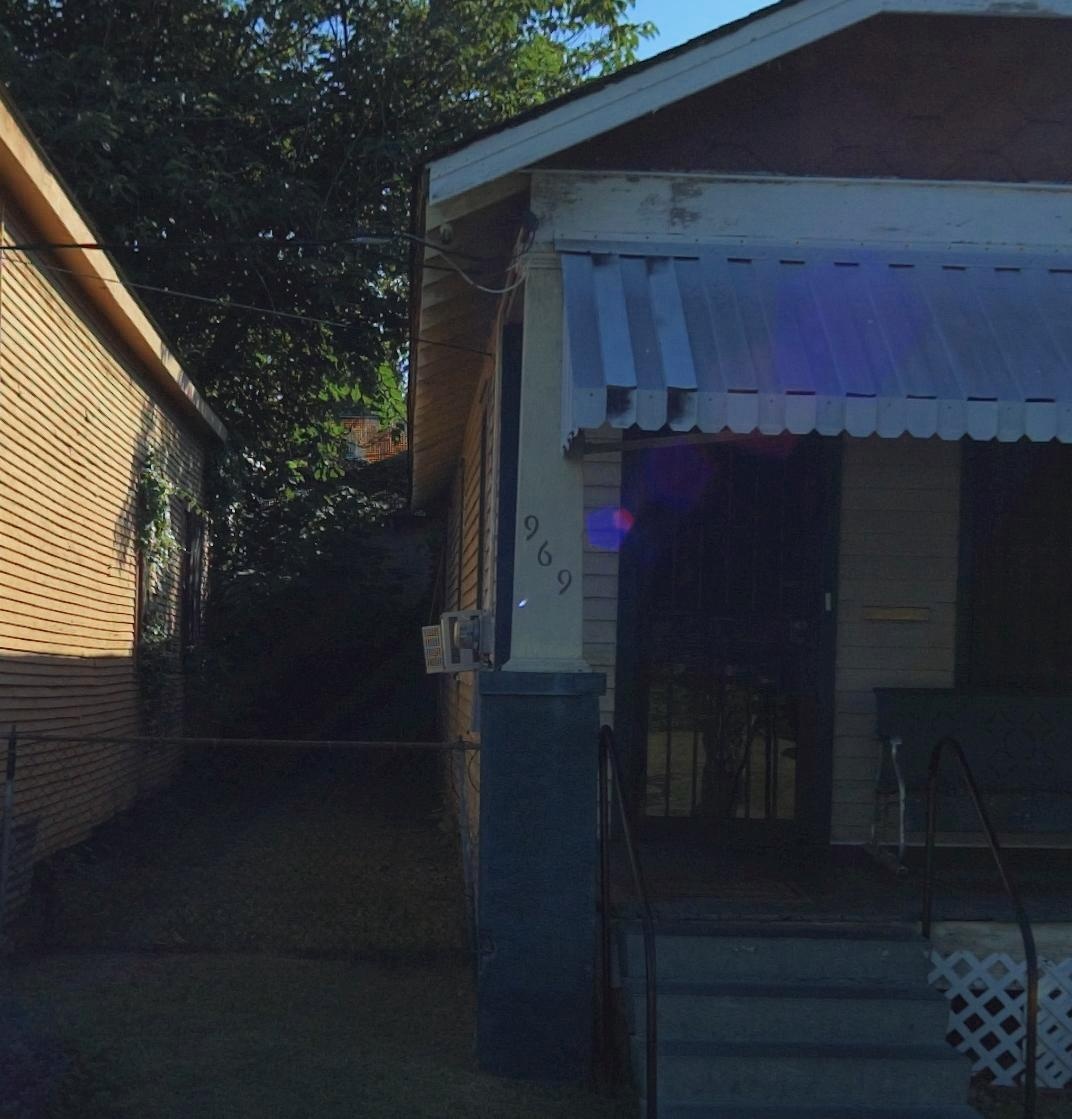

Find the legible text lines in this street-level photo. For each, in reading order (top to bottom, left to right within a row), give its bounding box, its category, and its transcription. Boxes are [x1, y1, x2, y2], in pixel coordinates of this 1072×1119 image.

[515, 503, 578, 610] StreetNumber: 969